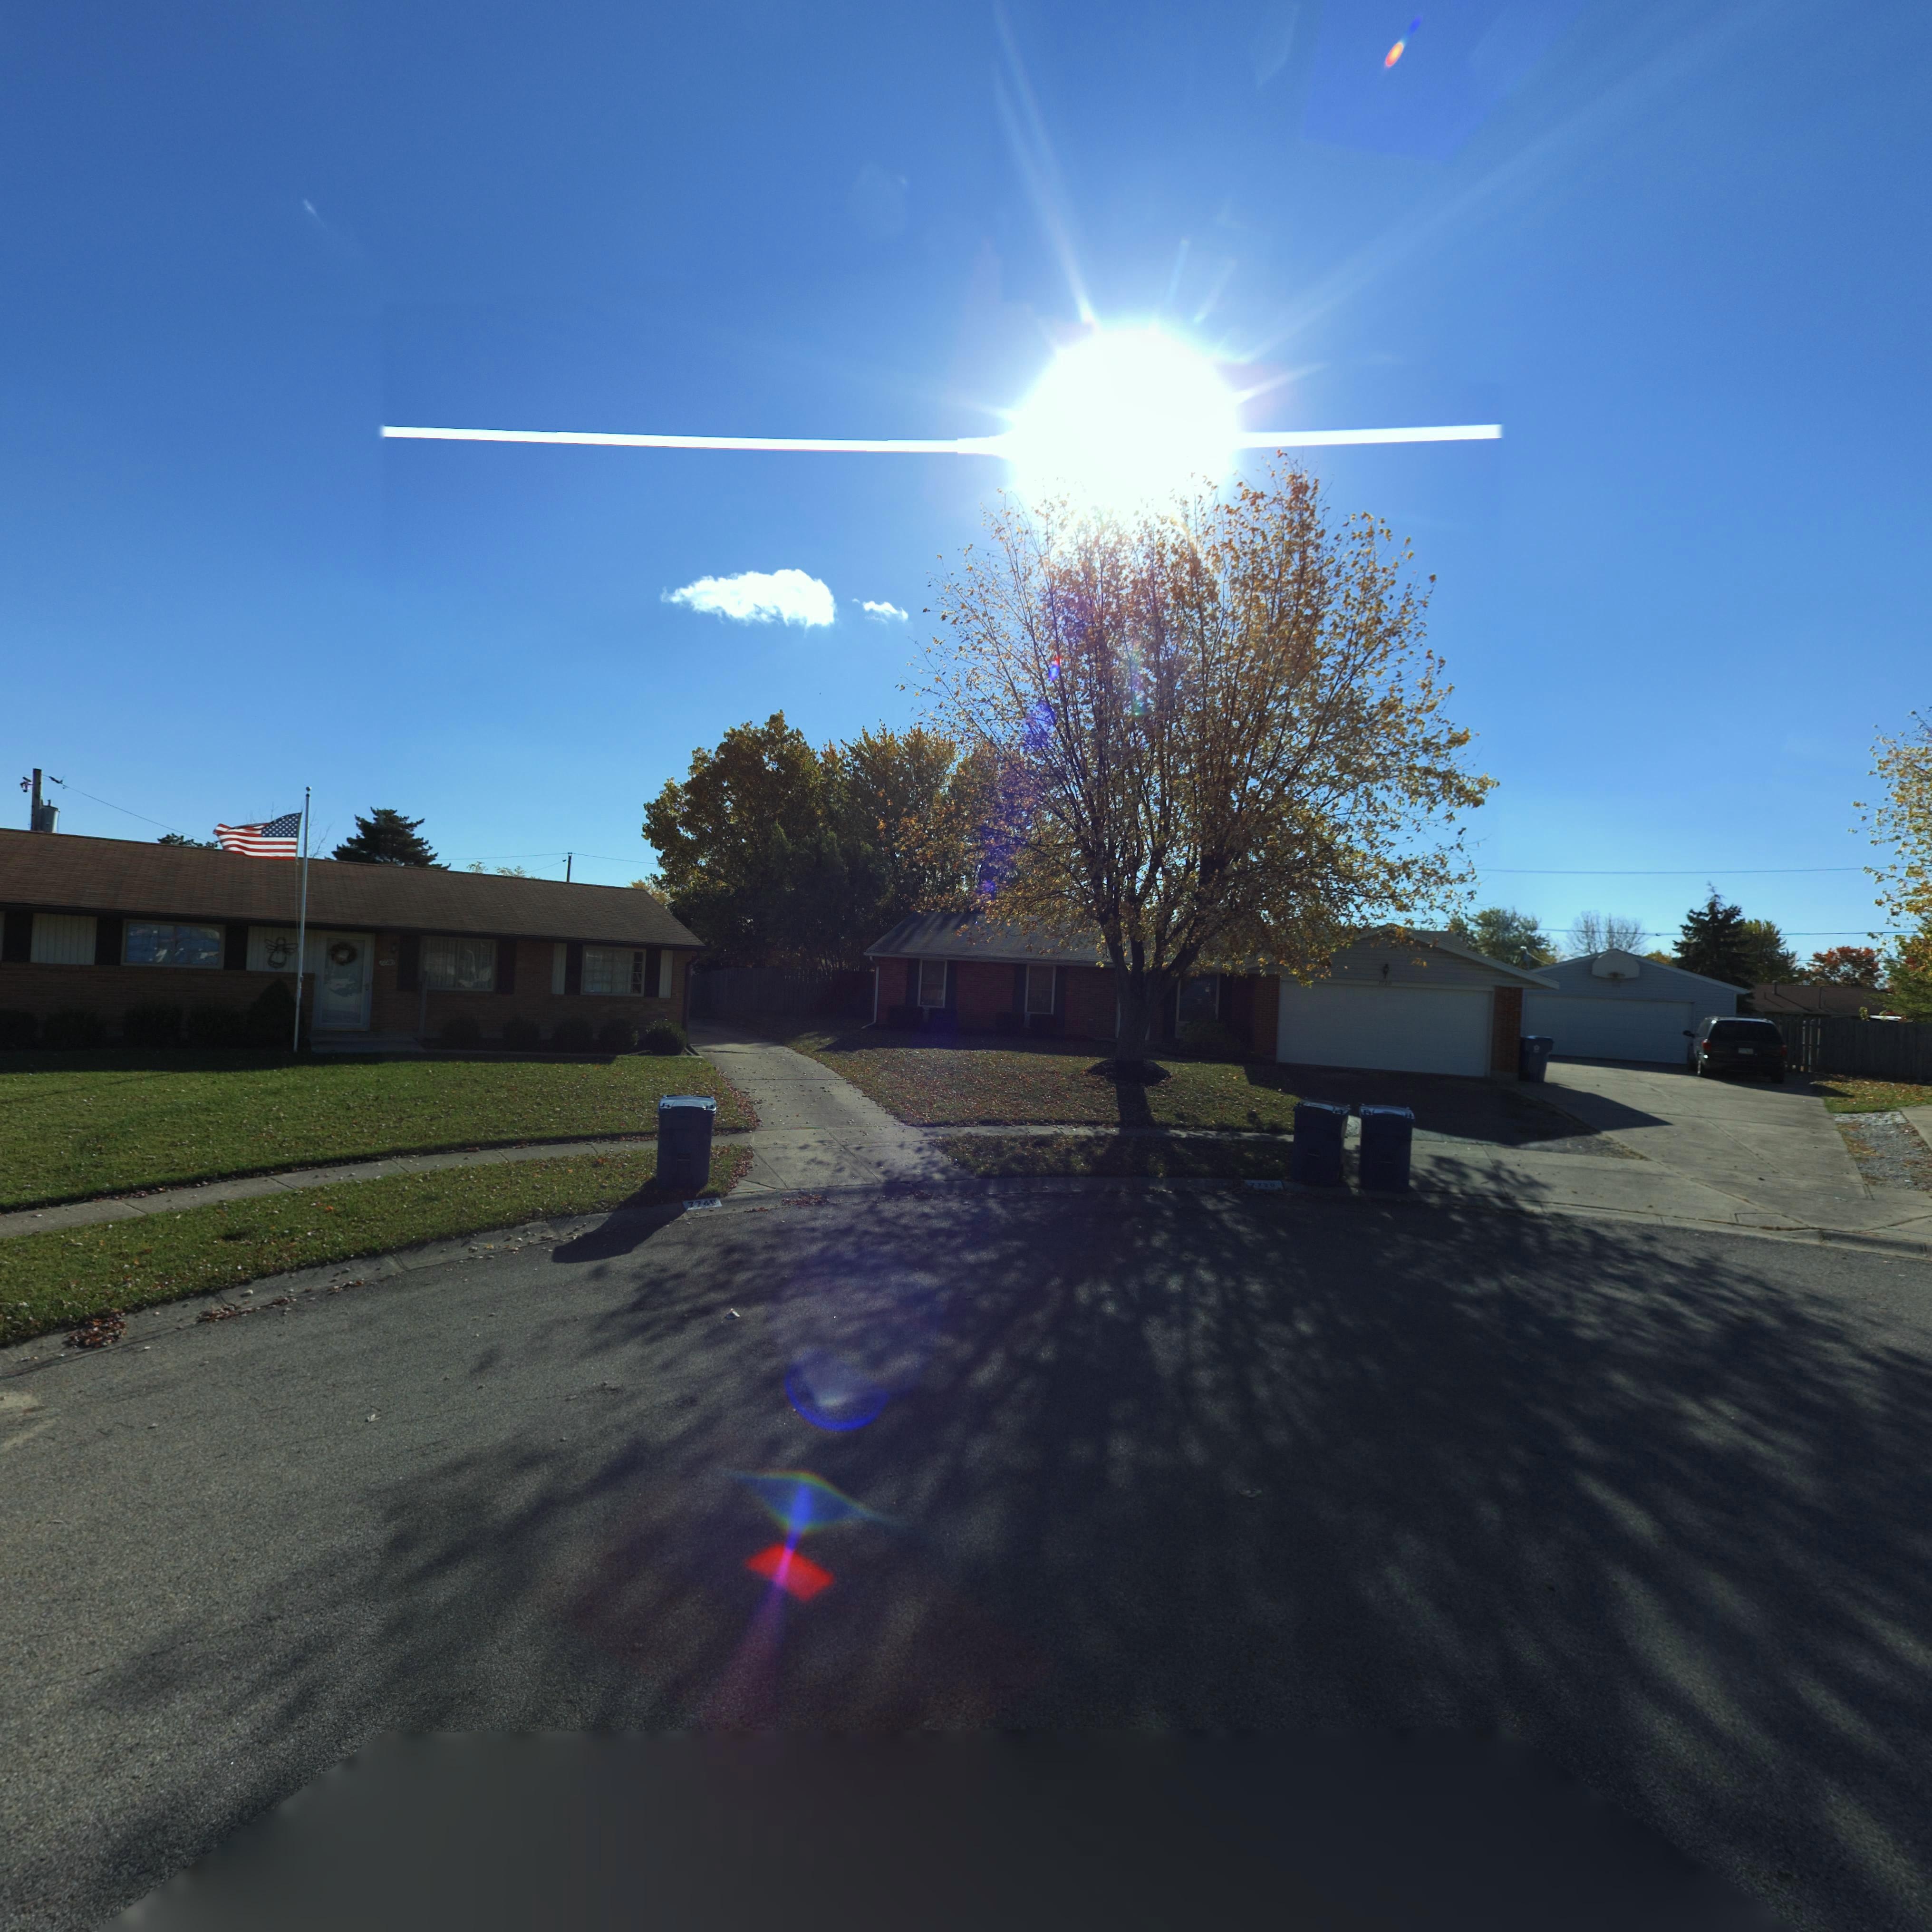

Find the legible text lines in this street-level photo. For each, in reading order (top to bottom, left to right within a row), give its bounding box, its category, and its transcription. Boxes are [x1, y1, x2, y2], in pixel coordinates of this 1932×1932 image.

[1249, 1182, 1276, 1188] StreetNumber: 7720
[686, 1198, 718, 1209] StreetNumber: 77**